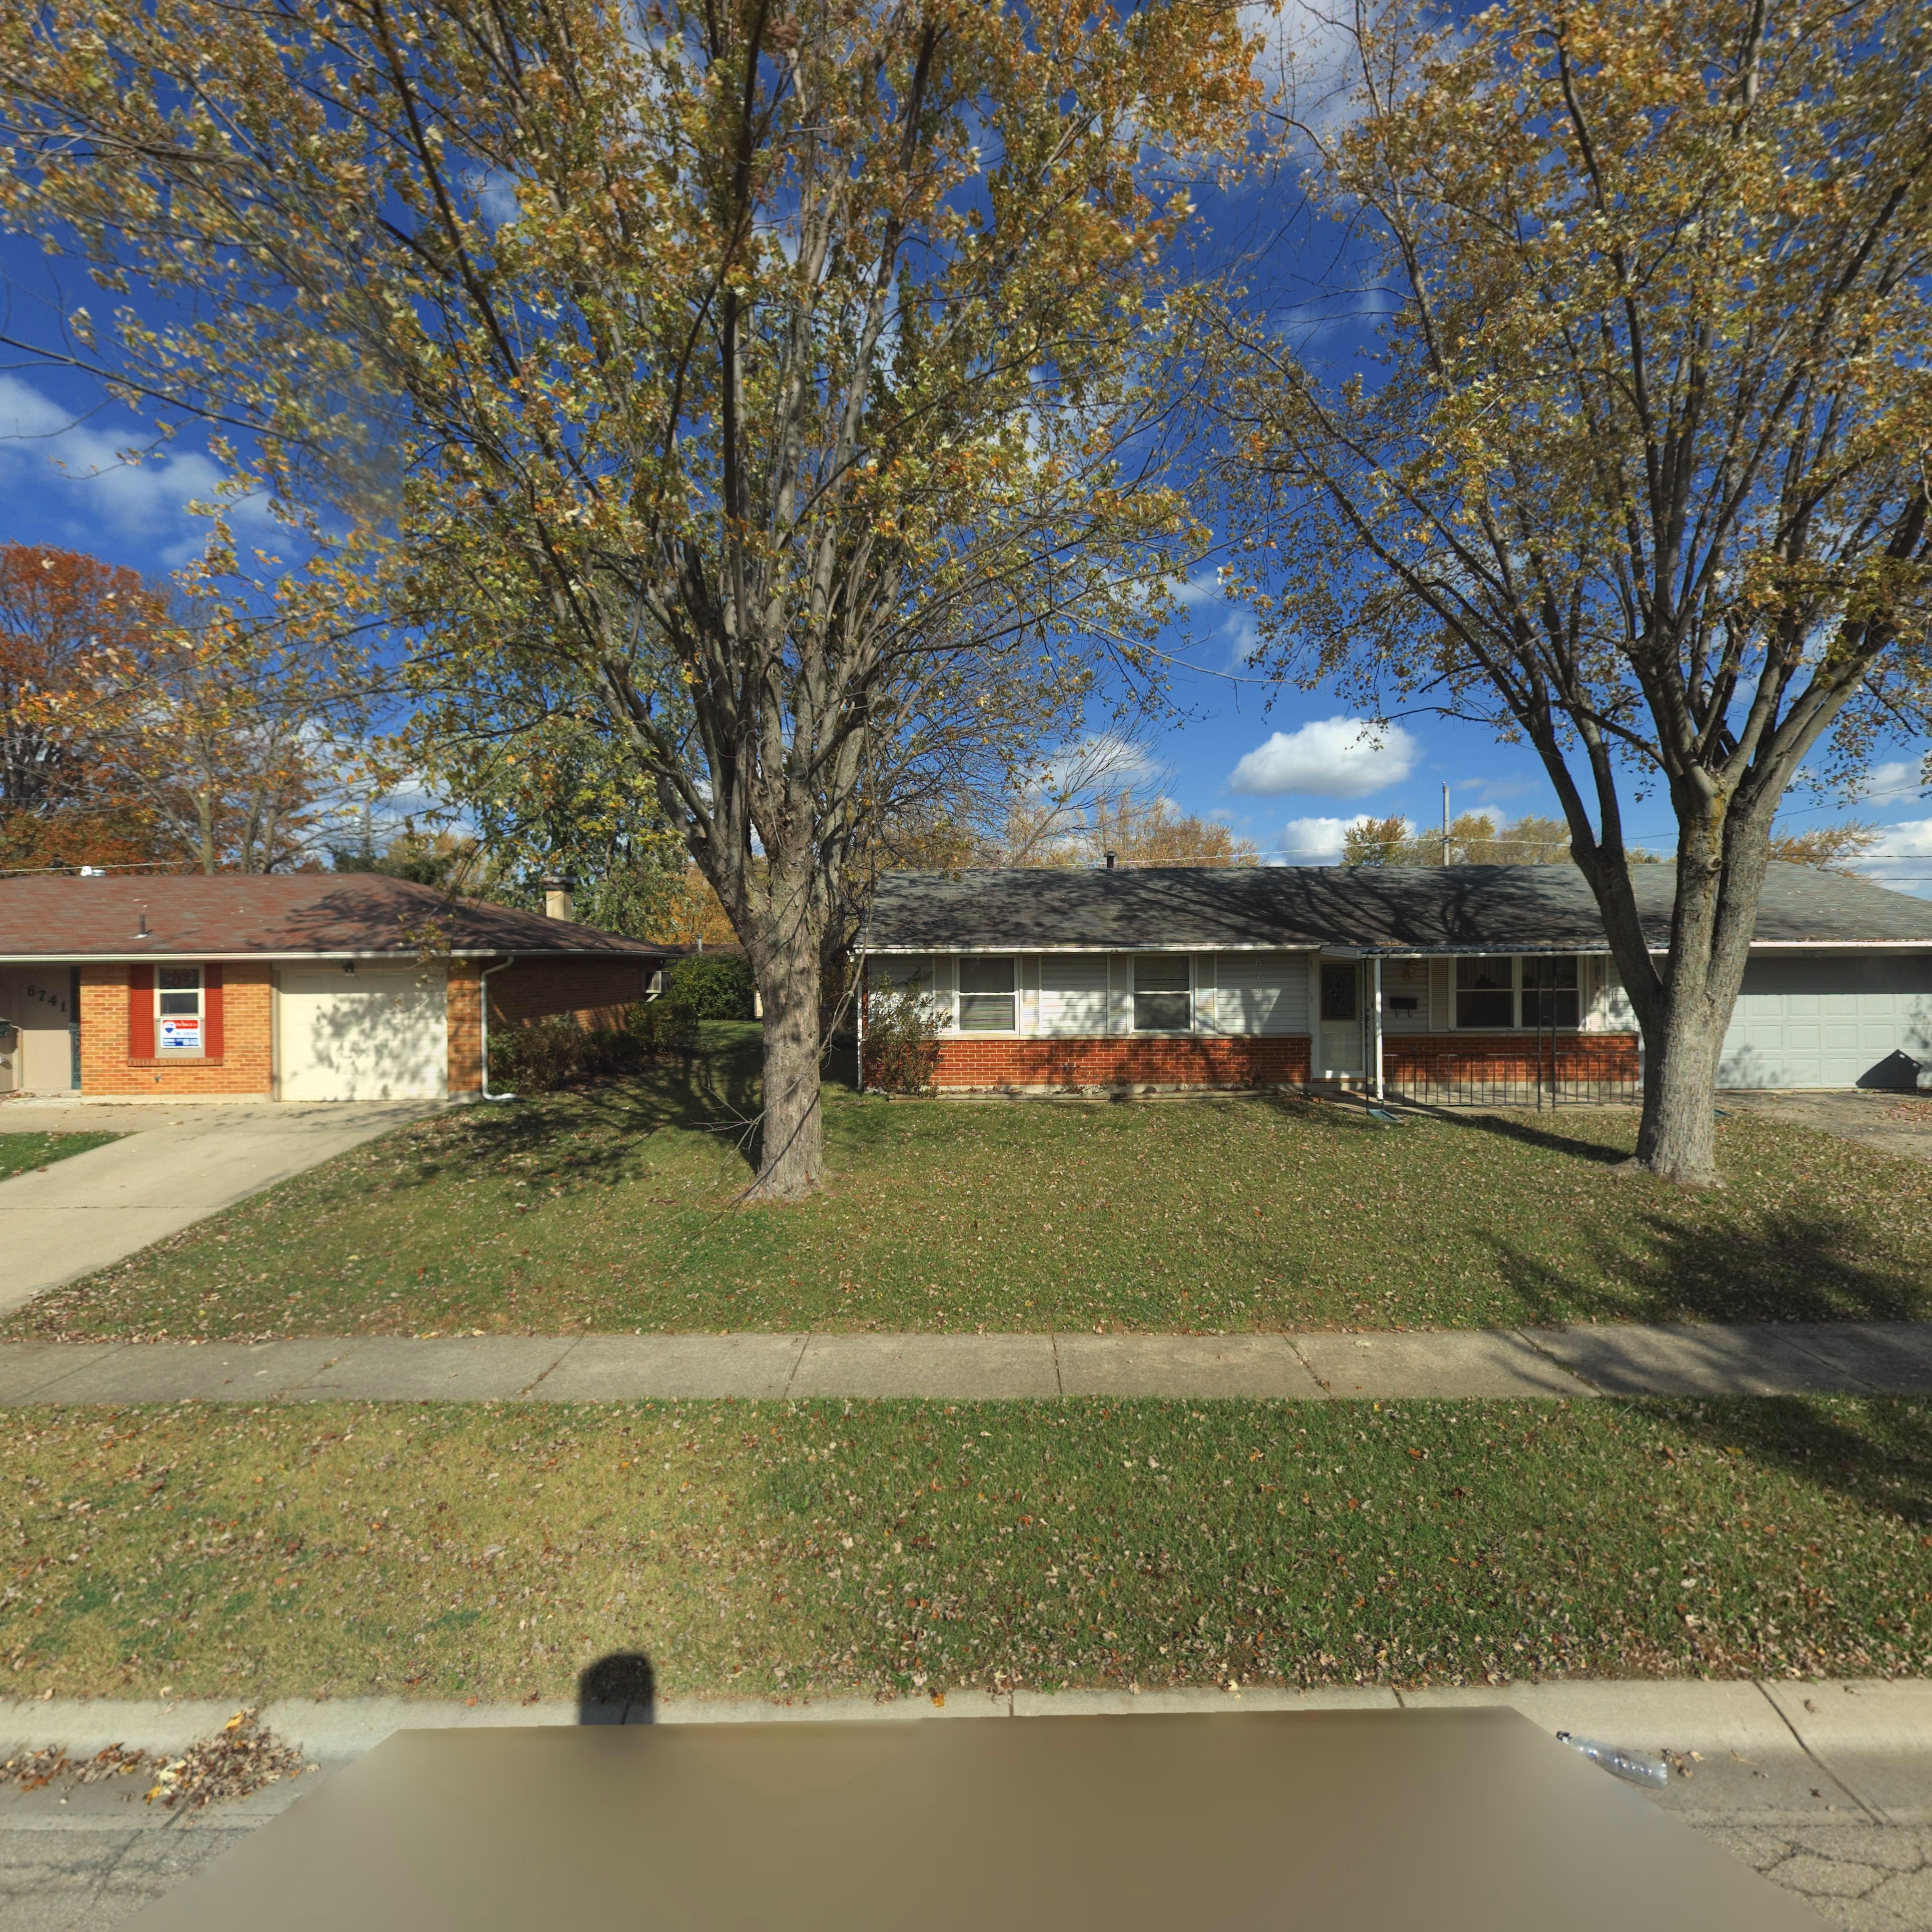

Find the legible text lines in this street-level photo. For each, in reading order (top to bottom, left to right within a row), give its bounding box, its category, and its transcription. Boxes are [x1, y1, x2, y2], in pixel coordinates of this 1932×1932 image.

[26, 984, 66, 1013] StreetNumber: 6741
[1255, 956, 1263, 1009] StreetNumber: 6751